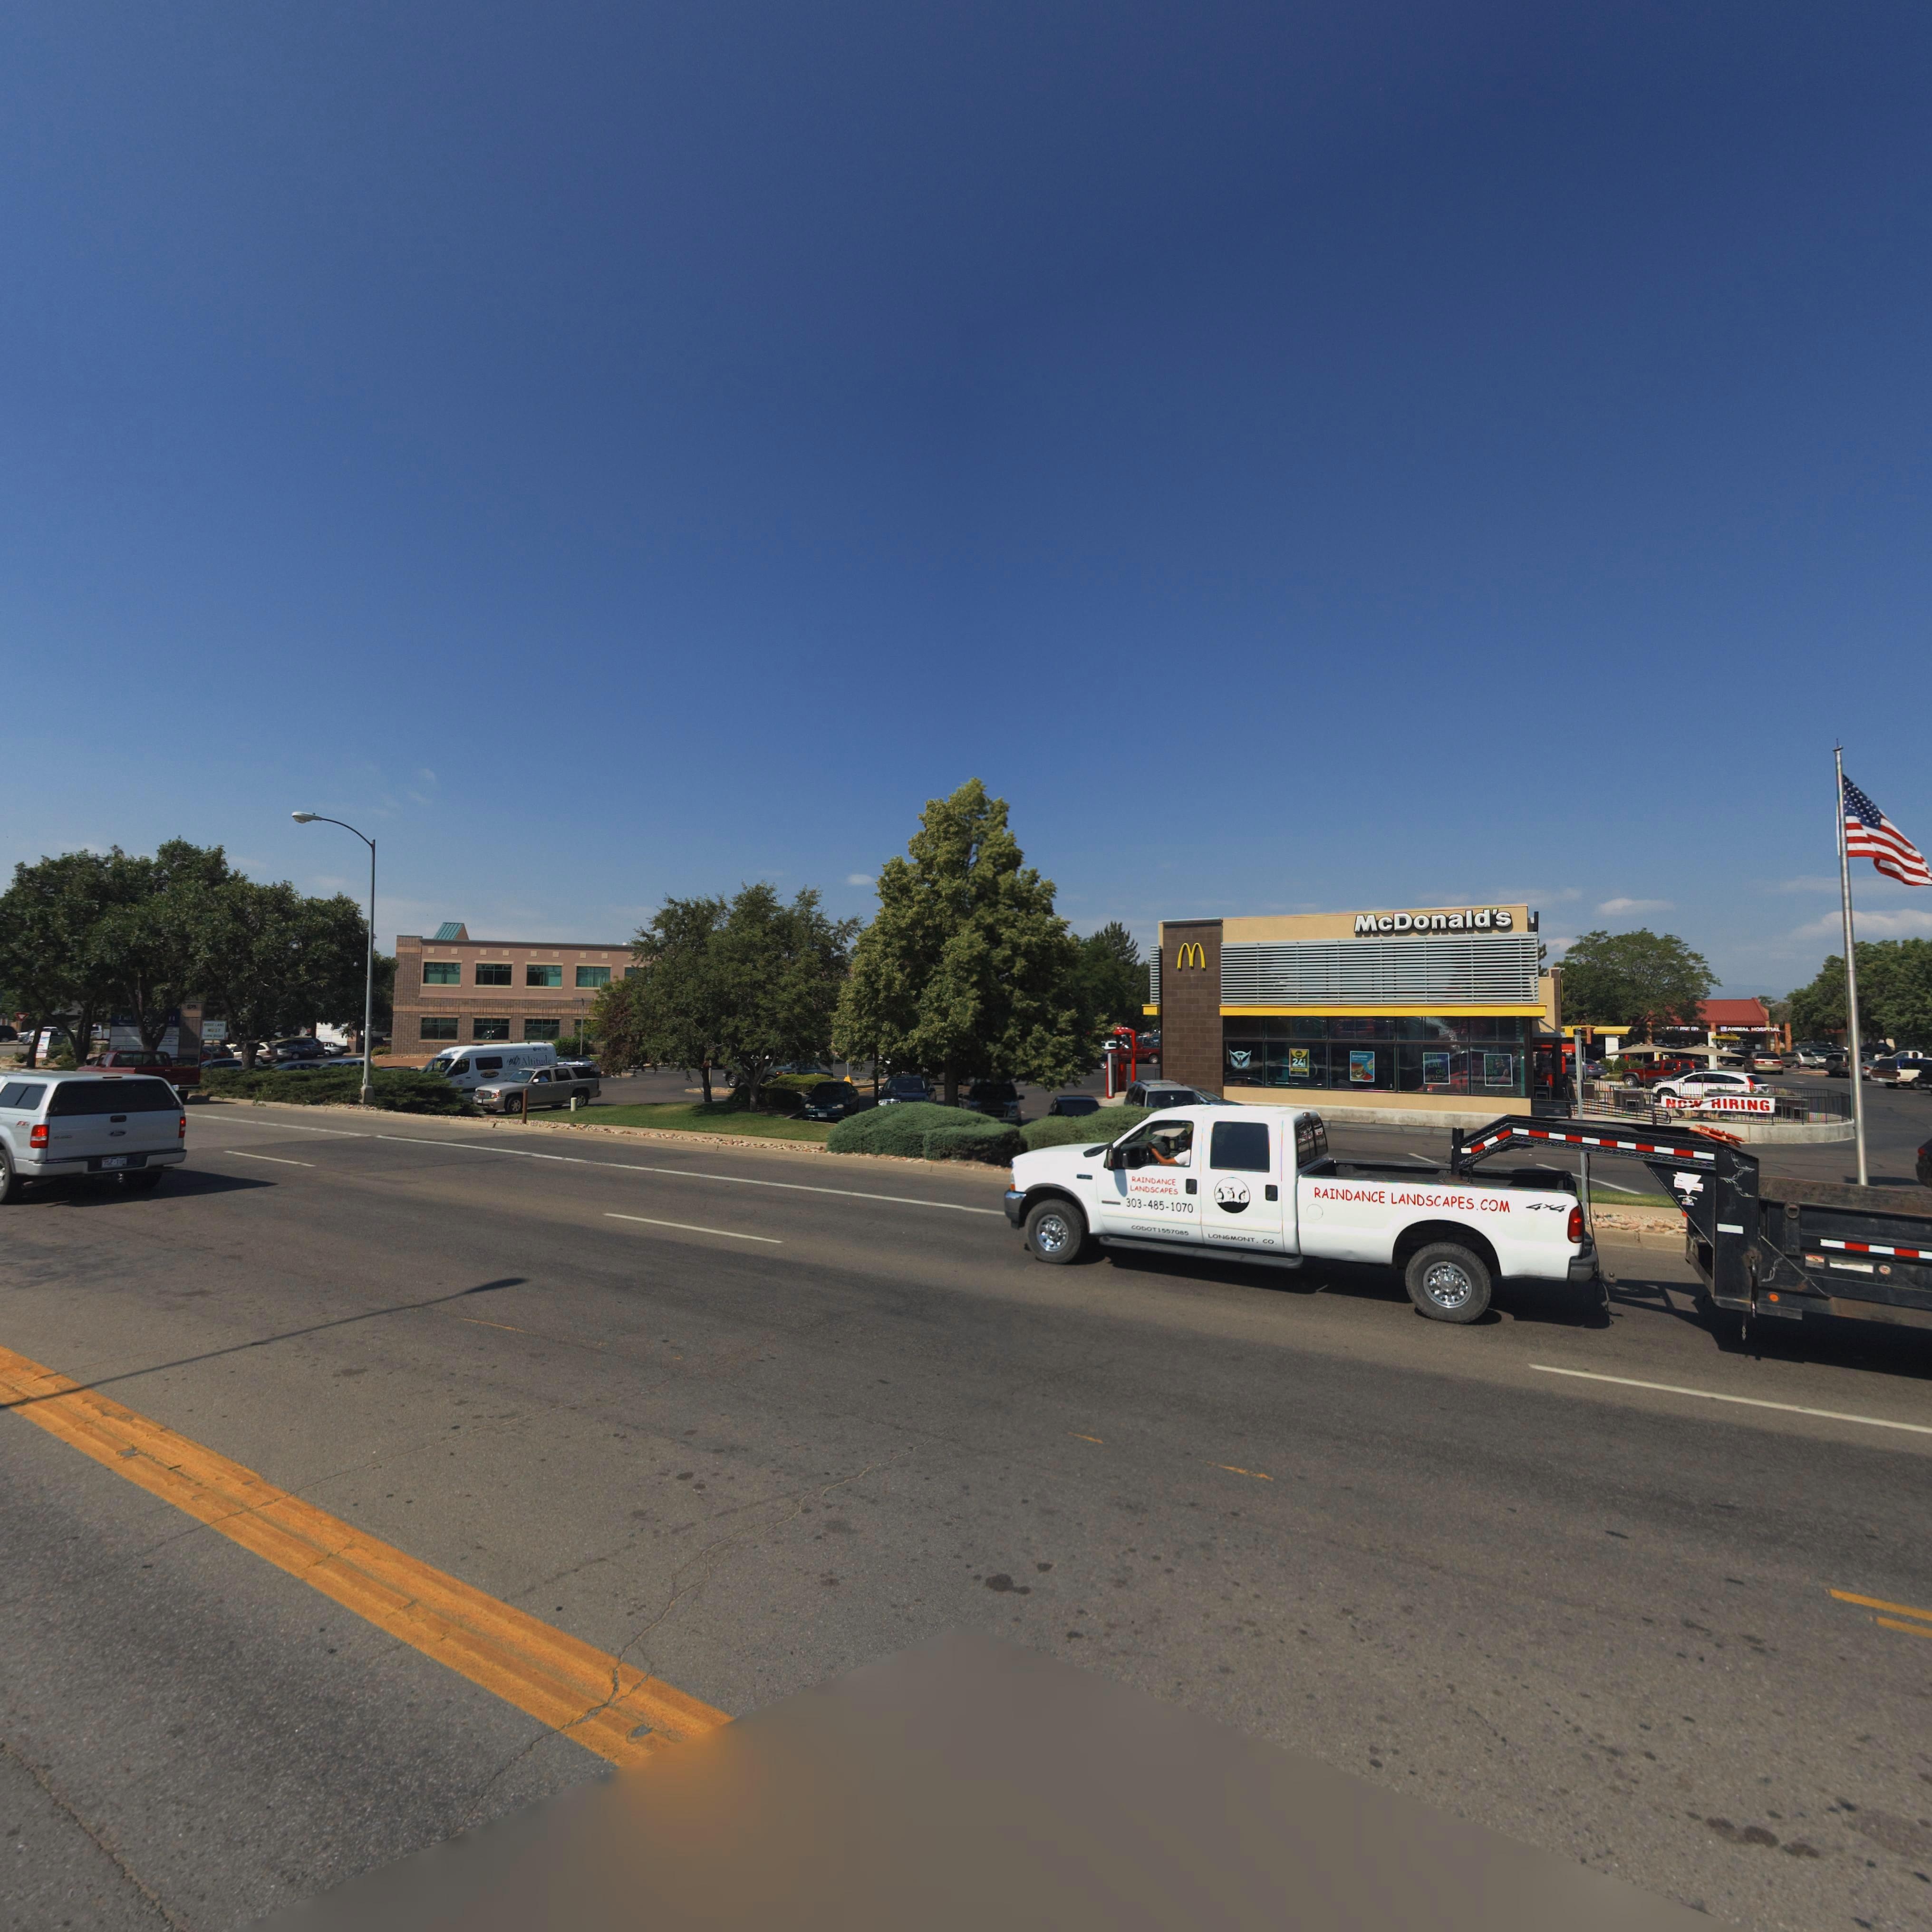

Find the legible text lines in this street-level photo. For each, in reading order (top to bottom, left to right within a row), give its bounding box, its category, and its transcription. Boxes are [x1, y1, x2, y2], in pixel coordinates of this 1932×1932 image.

[1353, 908, 1512, 933] BusinessName: McDonald's
[1727, 1026, 1780, 1032] BusinessName: AN**AL HOSPITAL